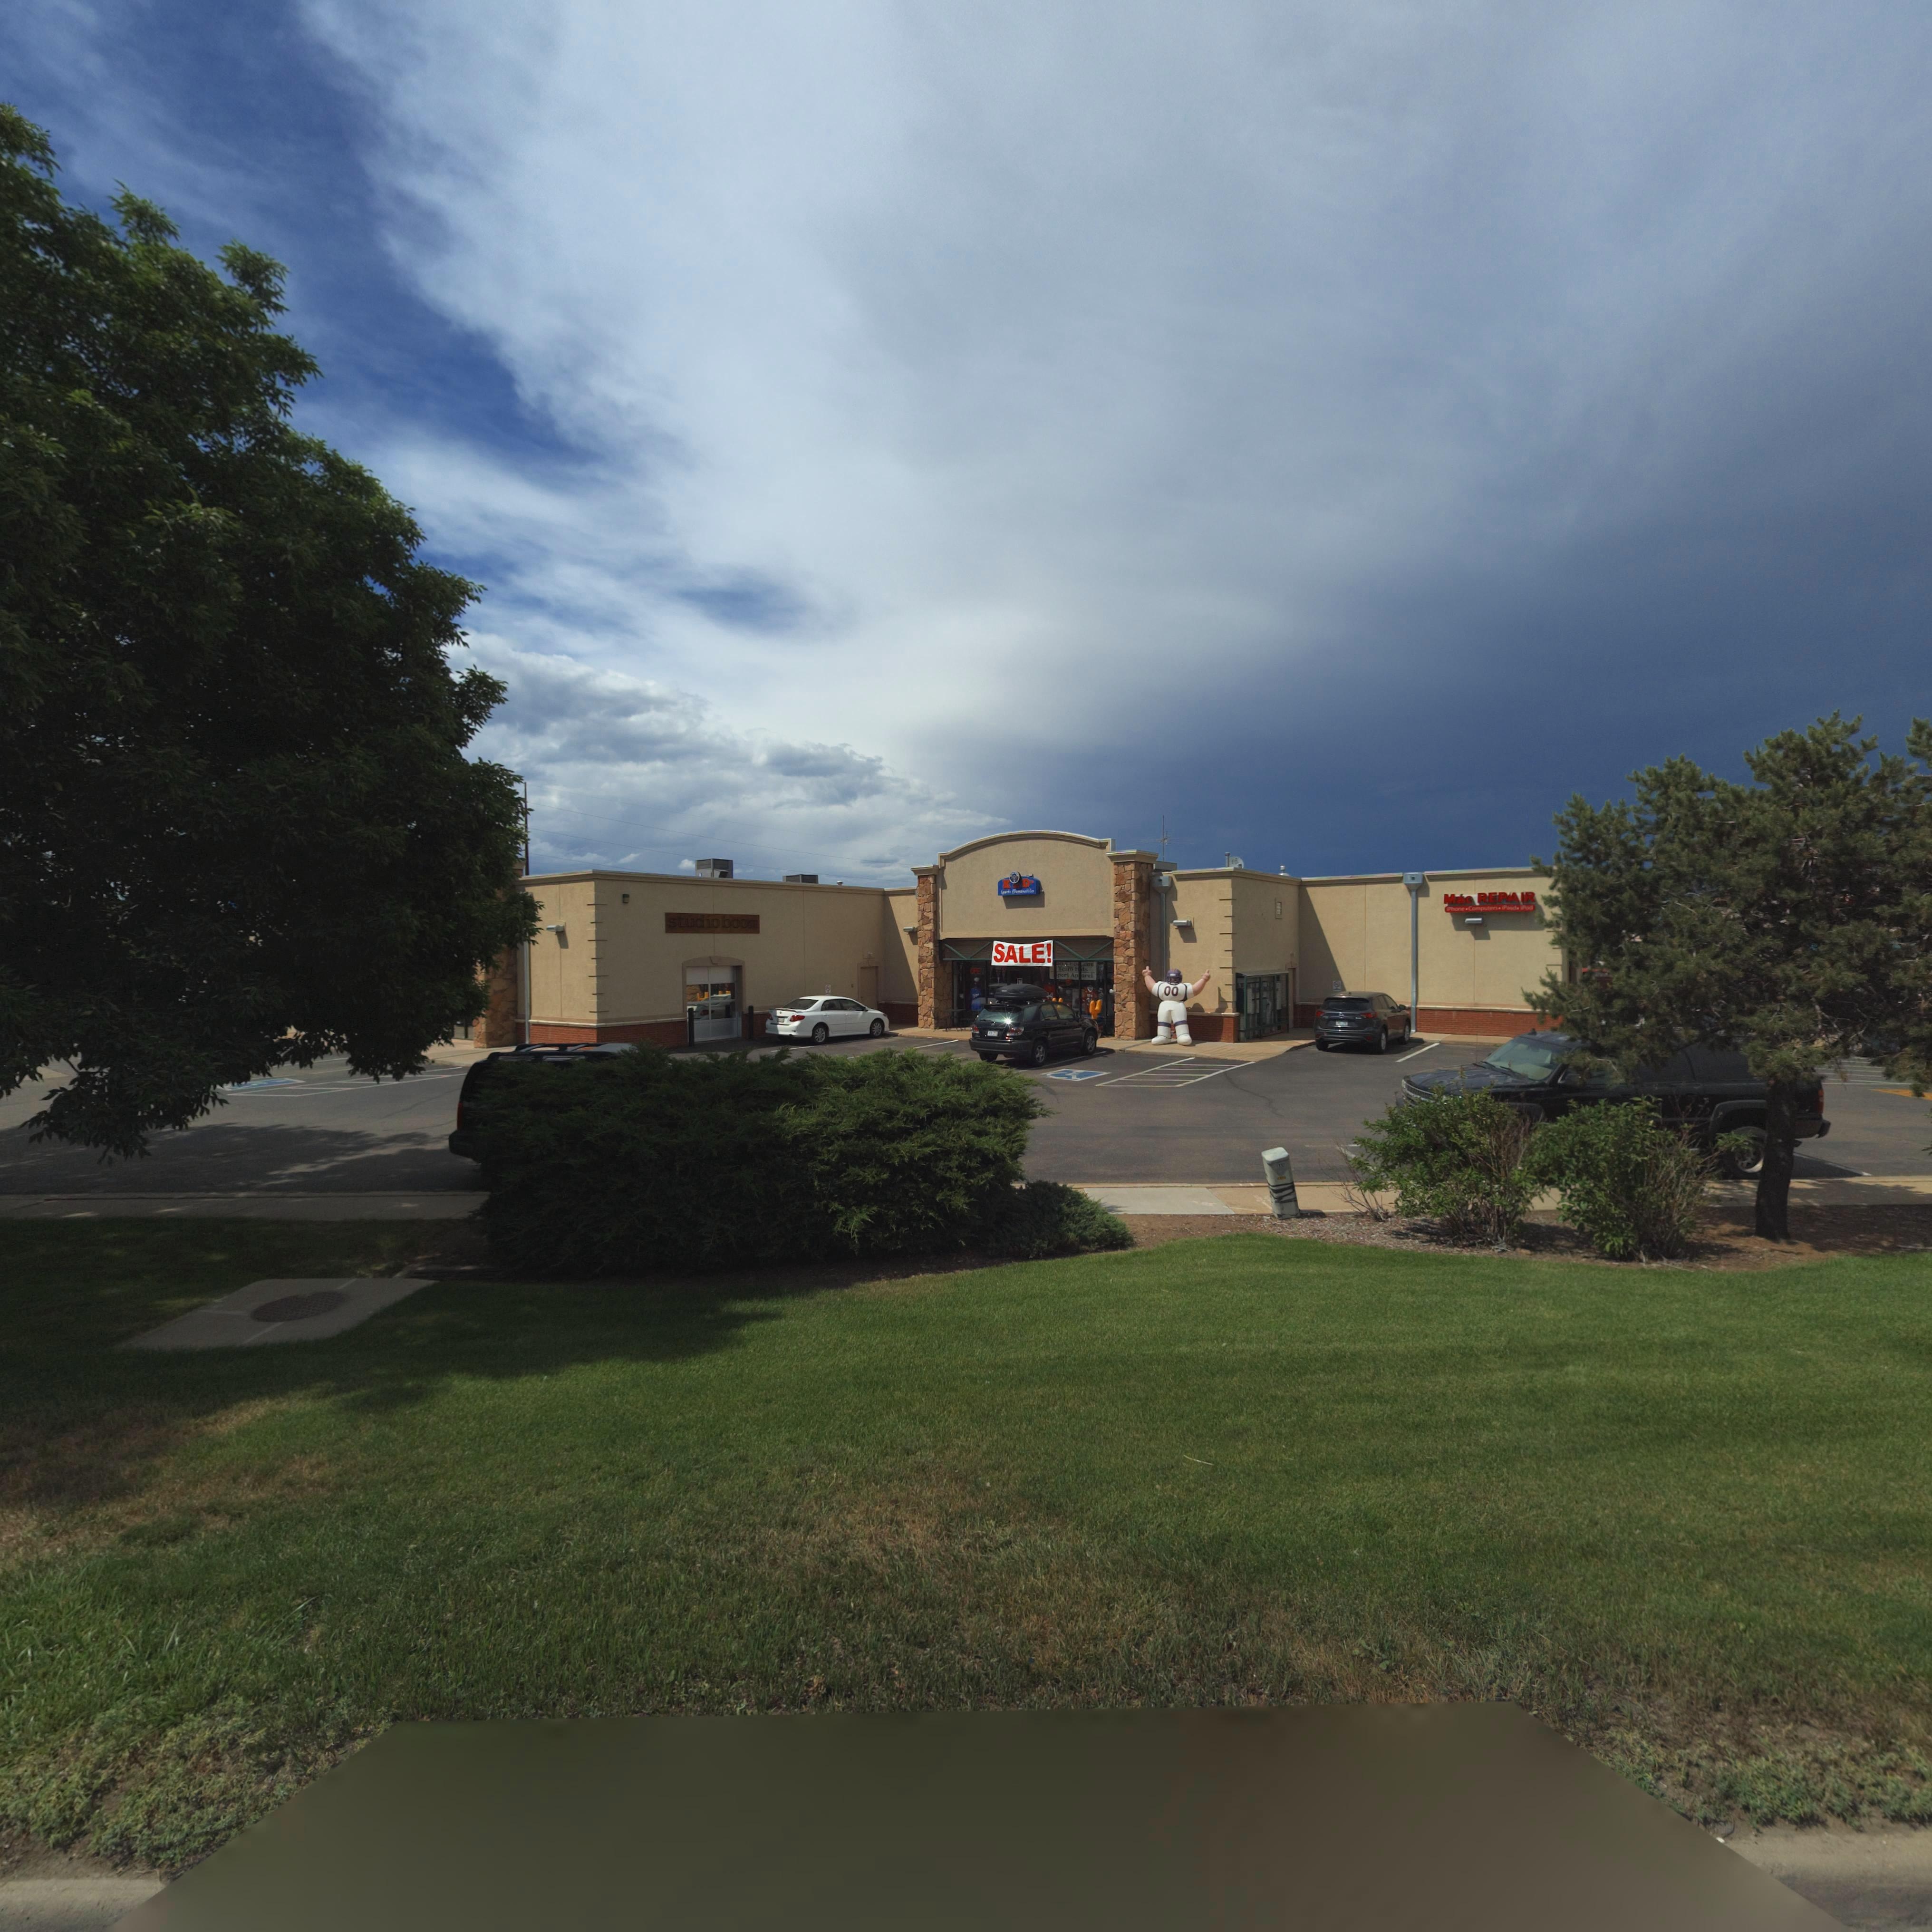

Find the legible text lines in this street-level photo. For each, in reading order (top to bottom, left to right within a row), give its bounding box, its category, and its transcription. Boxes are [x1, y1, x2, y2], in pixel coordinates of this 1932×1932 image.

[1003, 878, 1030, 889] BusinessName: K * D
[1443, 891, 1536, 904] BusinessName: Max REPAIR
[668, 914, 758, 928] BusinessName: studio boom